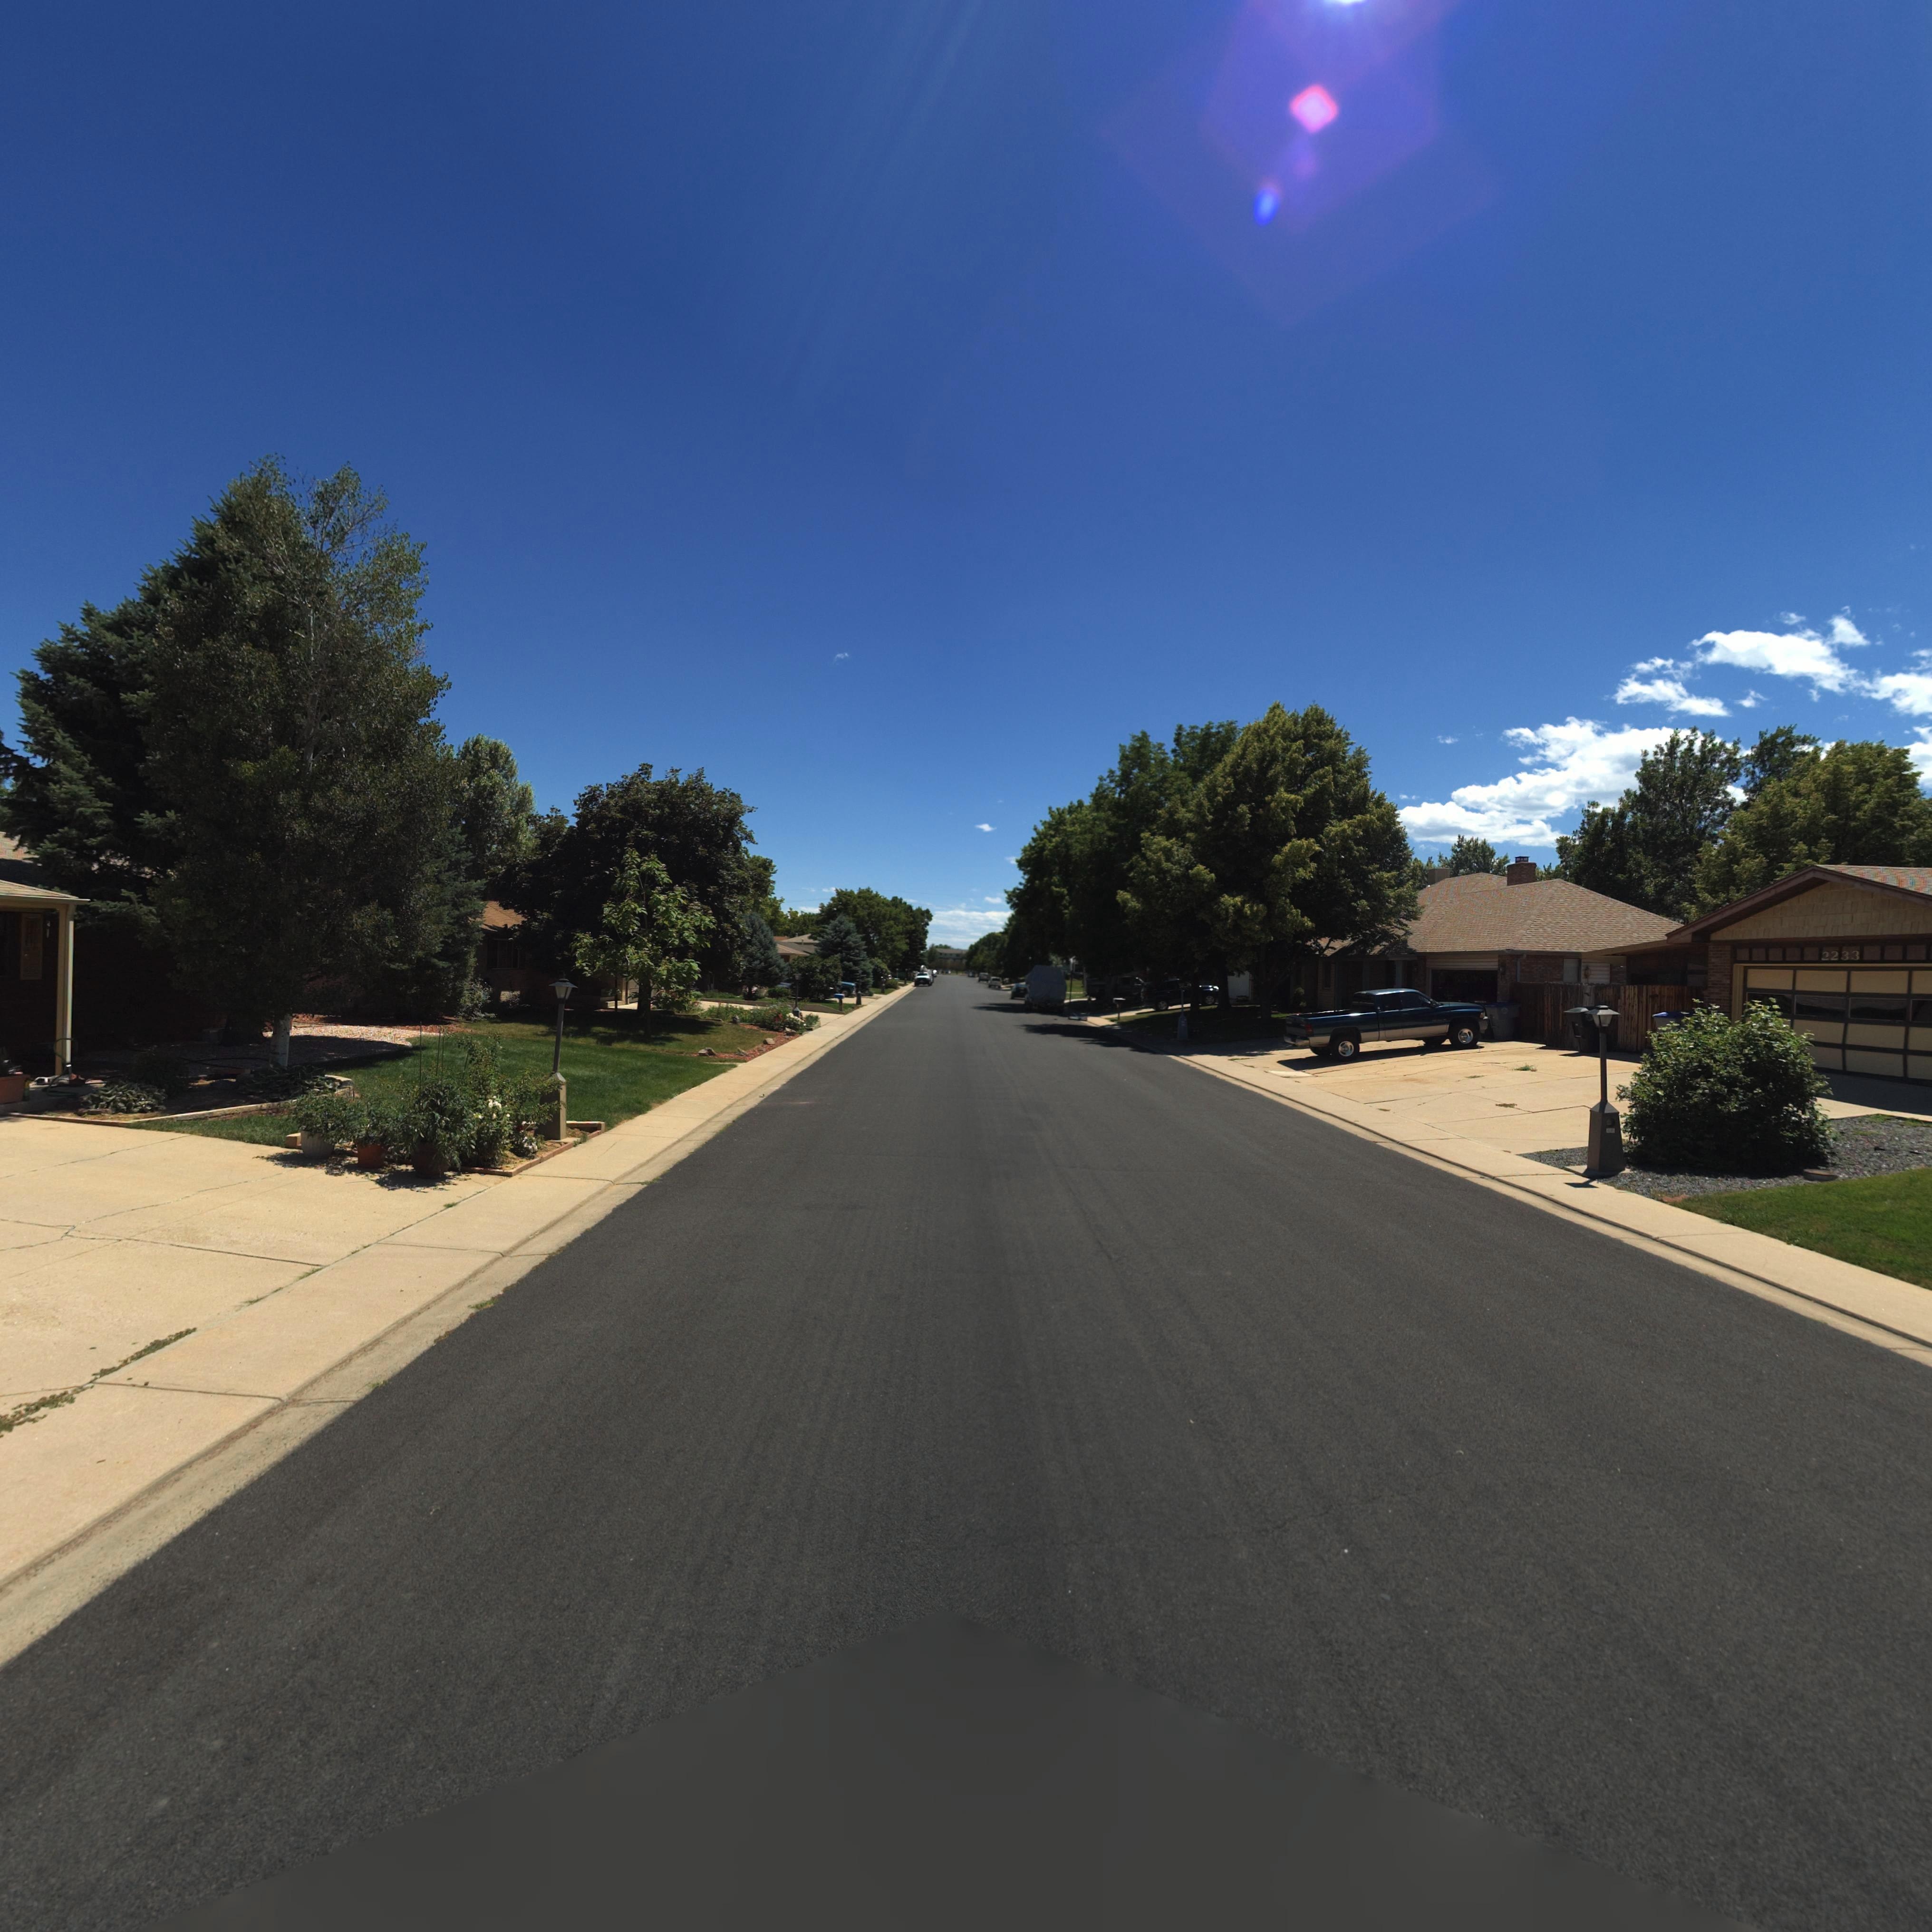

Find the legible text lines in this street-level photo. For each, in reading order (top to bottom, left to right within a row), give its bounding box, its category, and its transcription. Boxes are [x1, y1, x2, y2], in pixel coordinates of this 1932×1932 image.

[1821, 950, 1859, 961] StreetNumber: 2233